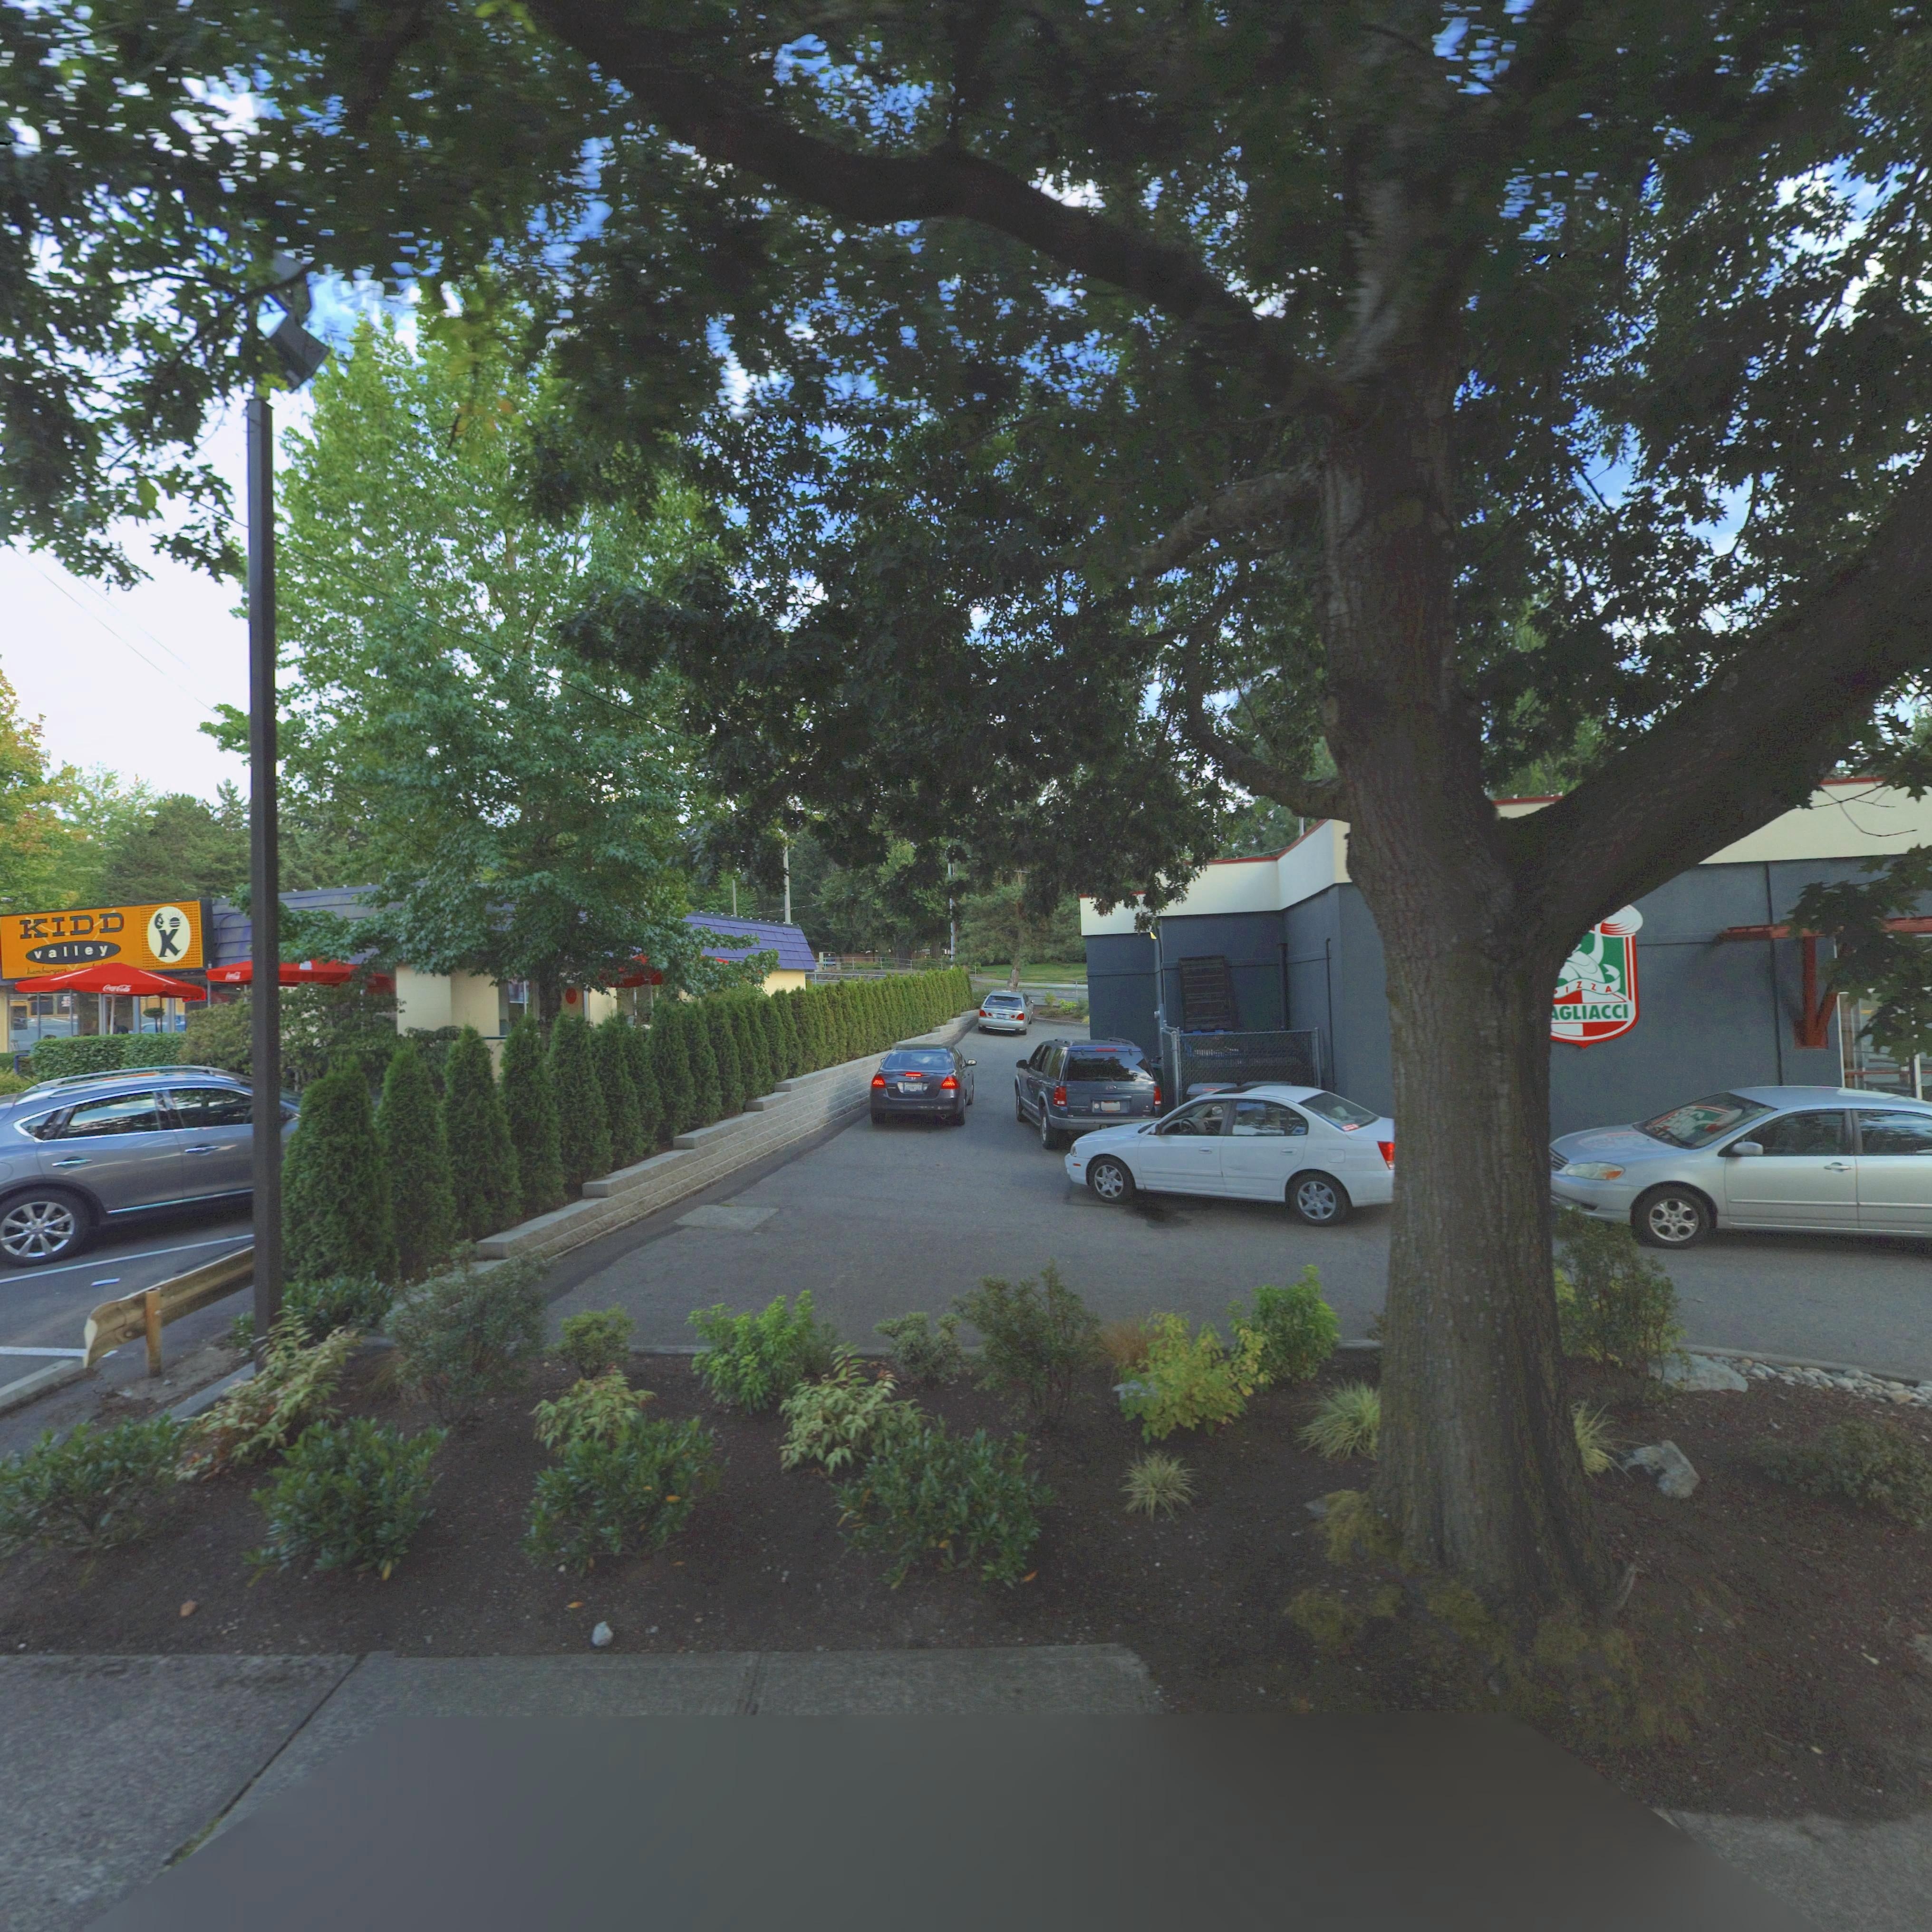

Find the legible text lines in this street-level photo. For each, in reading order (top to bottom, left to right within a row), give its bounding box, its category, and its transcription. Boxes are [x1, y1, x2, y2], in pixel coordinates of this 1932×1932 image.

[18, 911, 124, 938] BusinessName: KIDD
[33, 945, 109, 959] BusinessName: valley
[1550, 980, 1611, 997] BusinessName: *IZZA
[1550, 1004, 1628, 1021] BusinessName: *GLIACCI